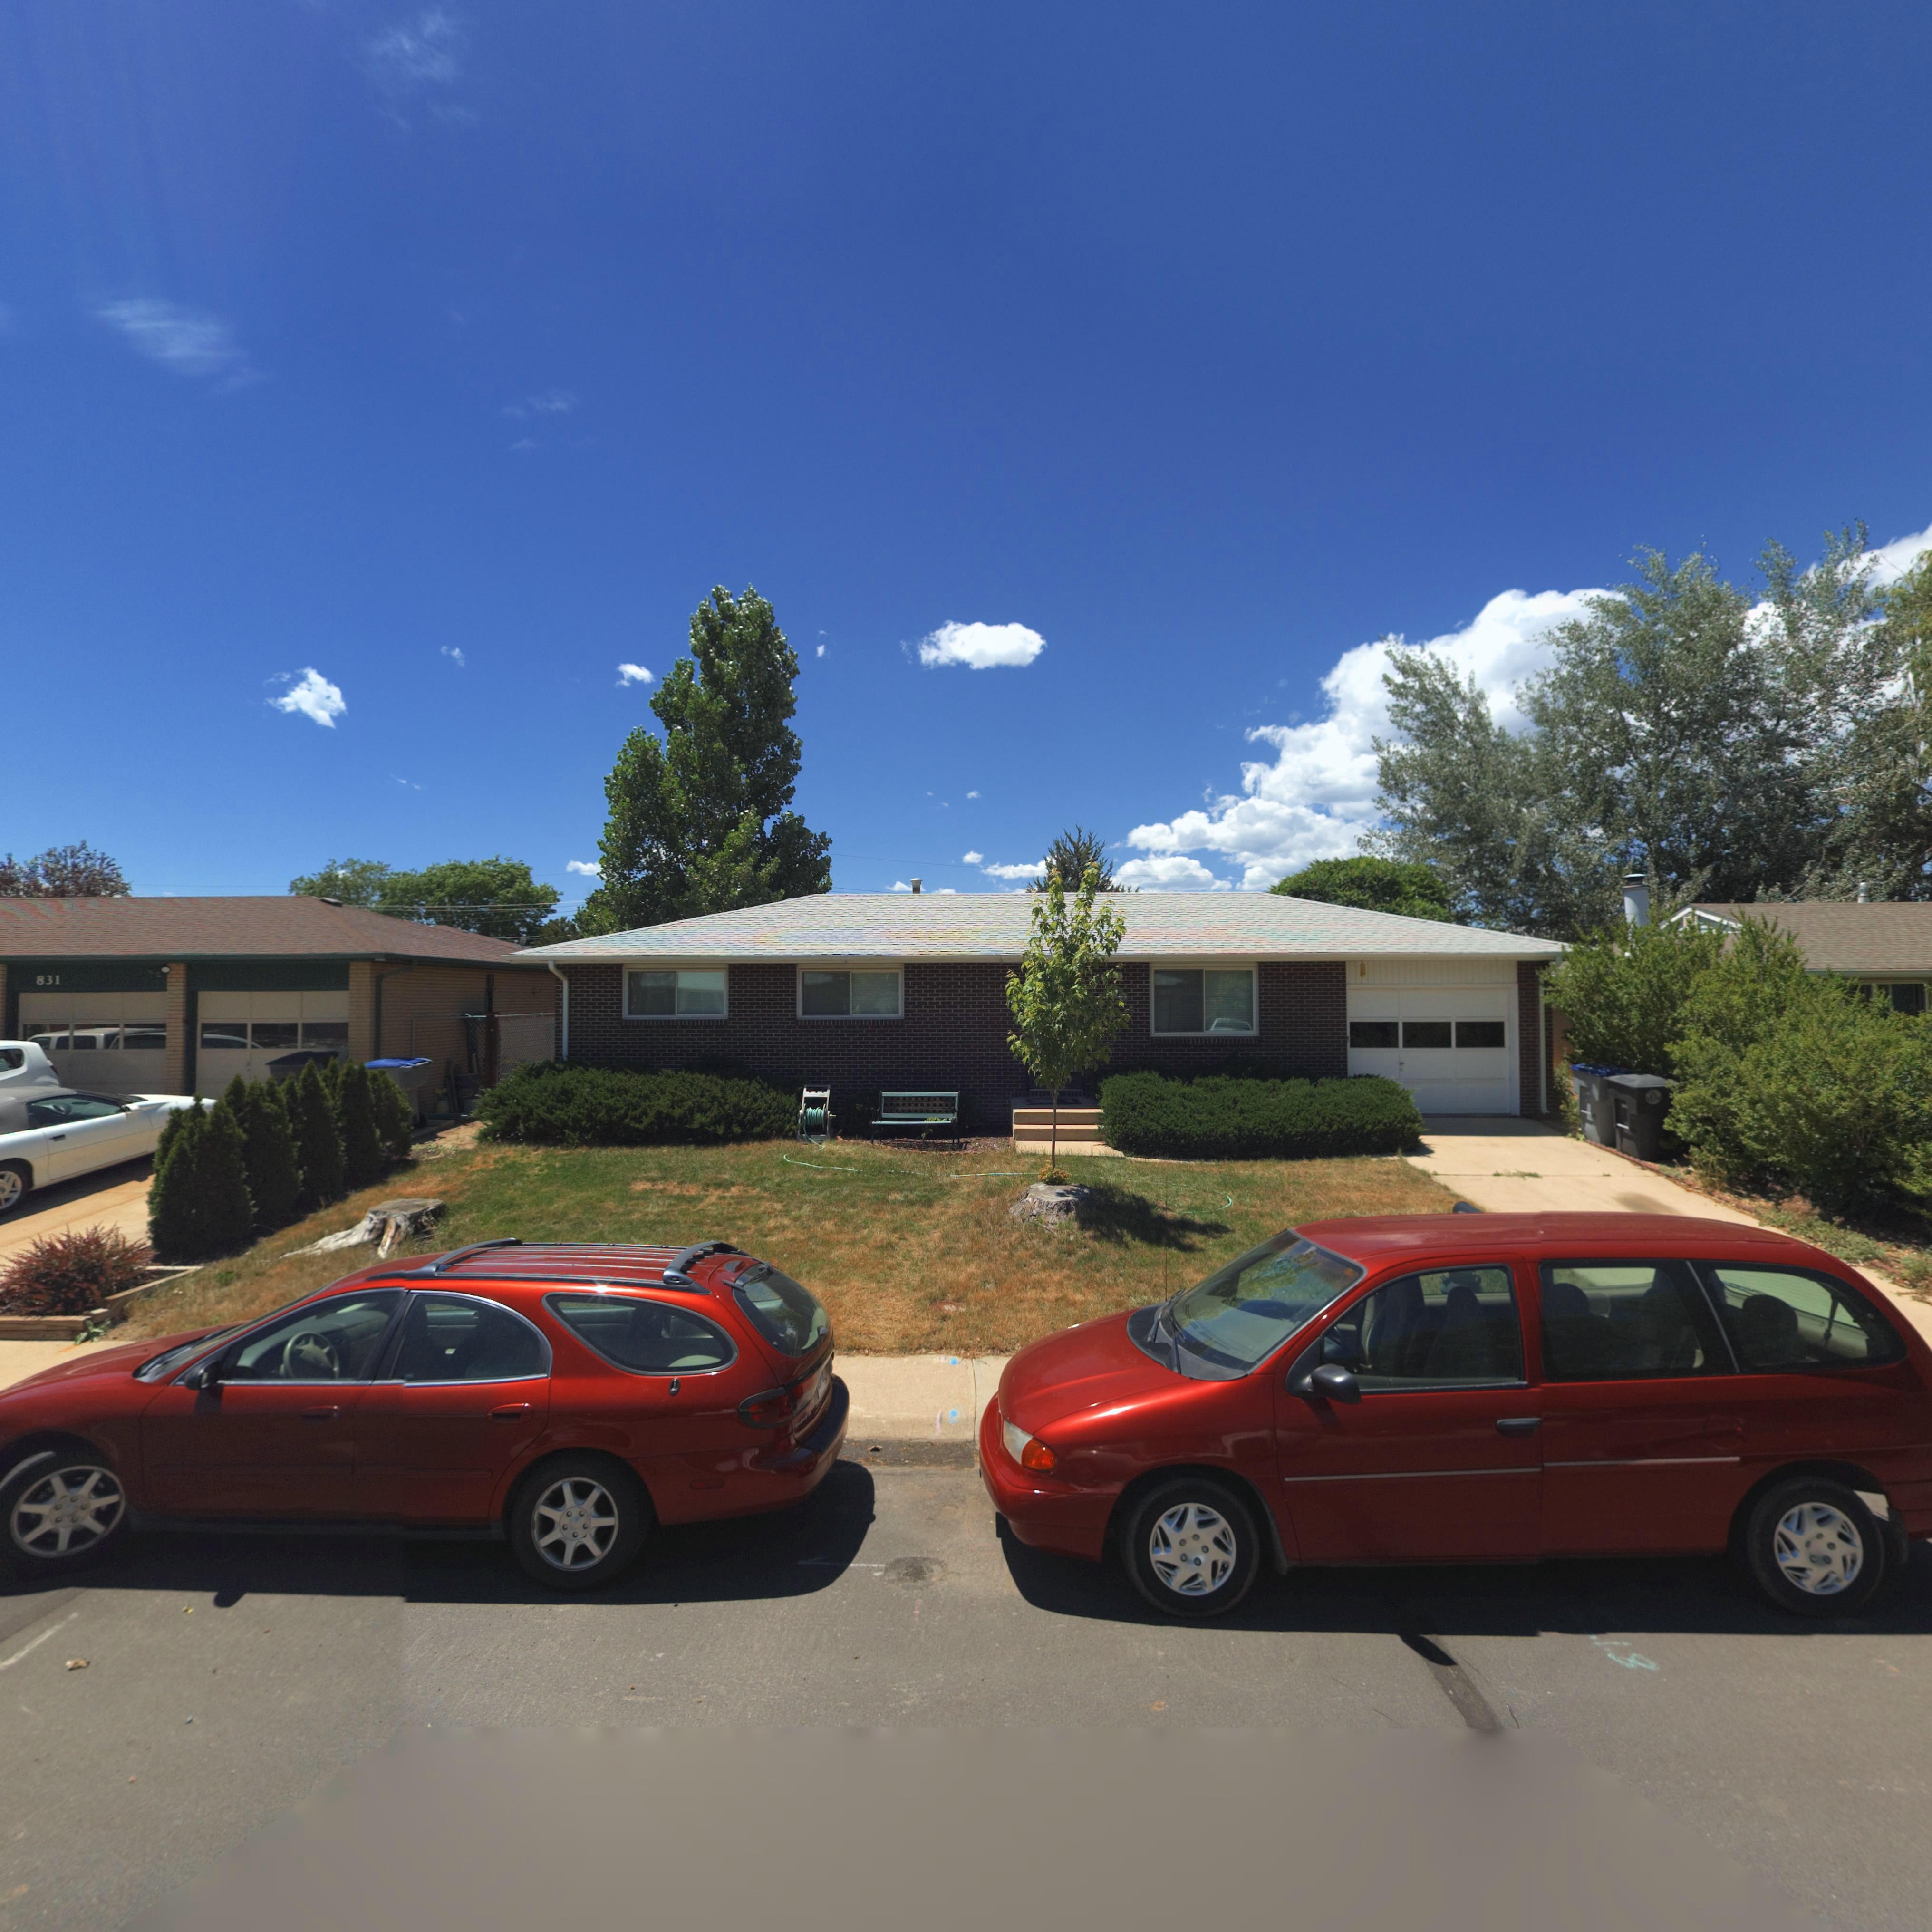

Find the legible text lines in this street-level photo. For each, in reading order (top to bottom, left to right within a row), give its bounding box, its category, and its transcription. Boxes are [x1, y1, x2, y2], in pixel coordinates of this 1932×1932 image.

[35, 975, 60, 985] StreetNumber: 831